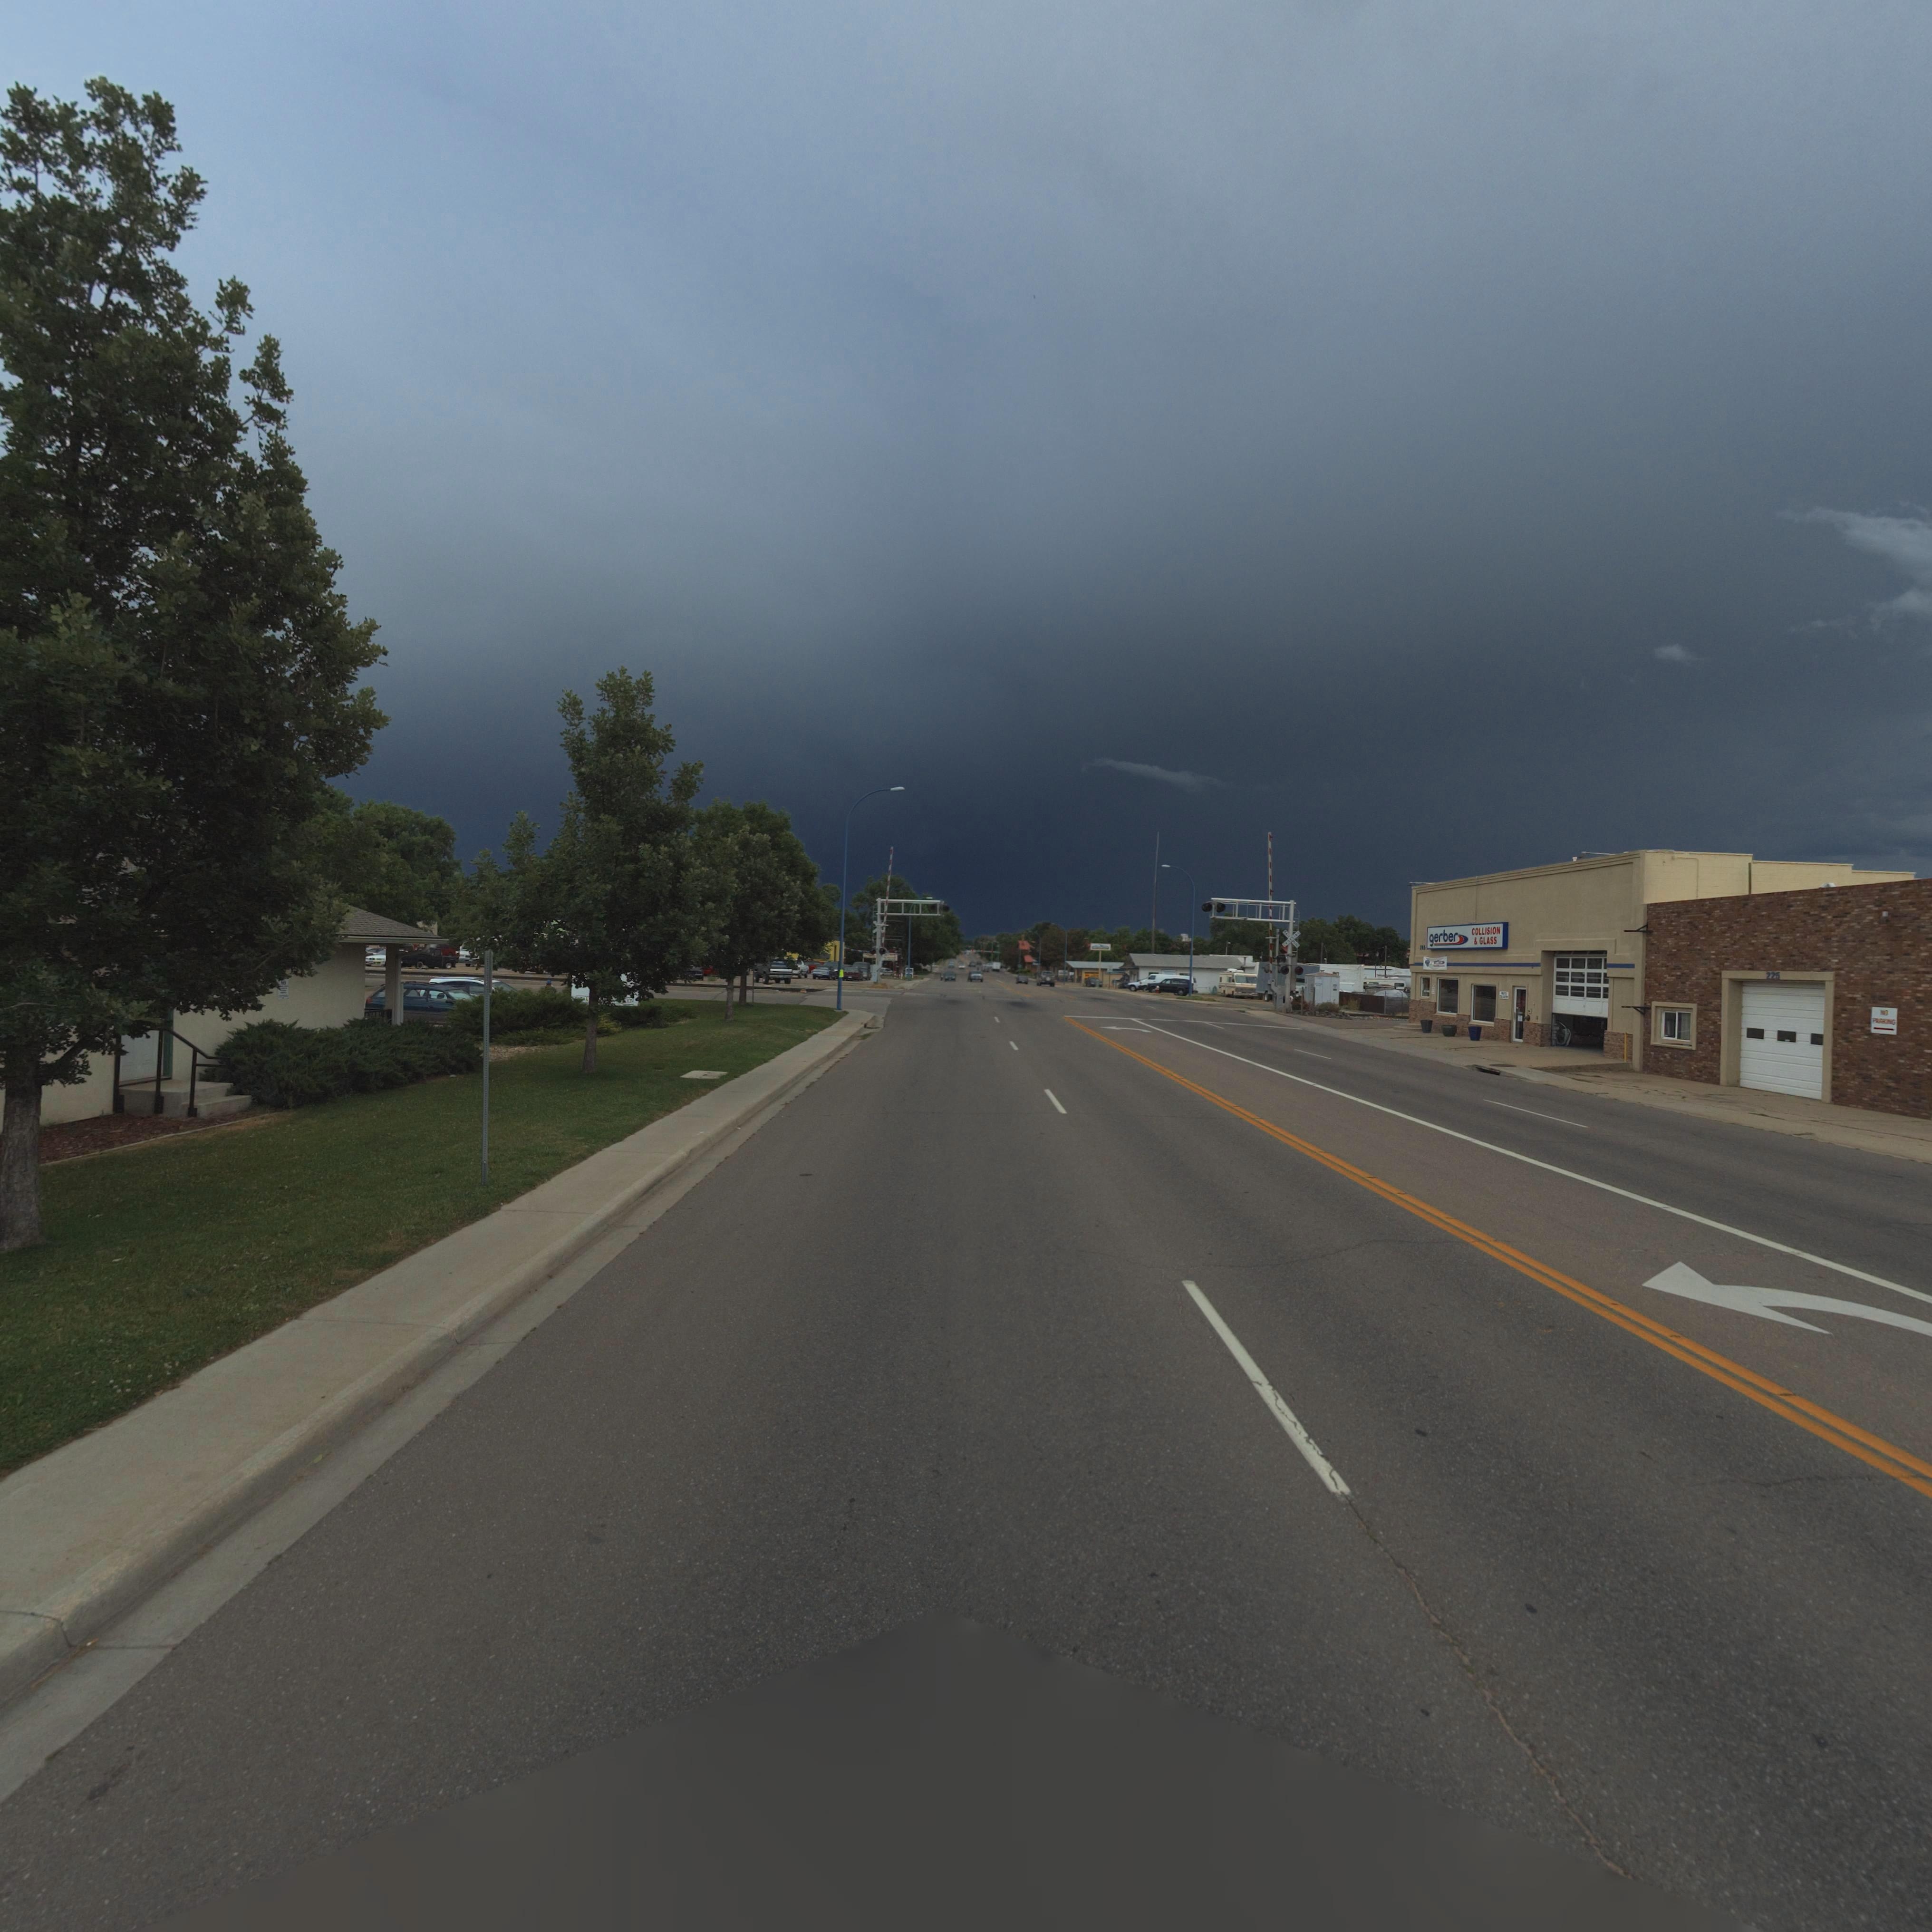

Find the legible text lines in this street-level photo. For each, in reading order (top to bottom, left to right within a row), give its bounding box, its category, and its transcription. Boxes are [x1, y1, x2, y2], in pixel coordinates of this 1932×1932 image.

[1471, 926, 1501, 936] BusinessName: COLLISION
[1429, 928, 1458, 947] BusinessName: gerber
[1473, 936, 1497, 945] BusinessName: * GLASS
[1420, 945, 1425, 950] StreetNumber: 205
[1766, 971, 1780, 979] StreetNumber: 225